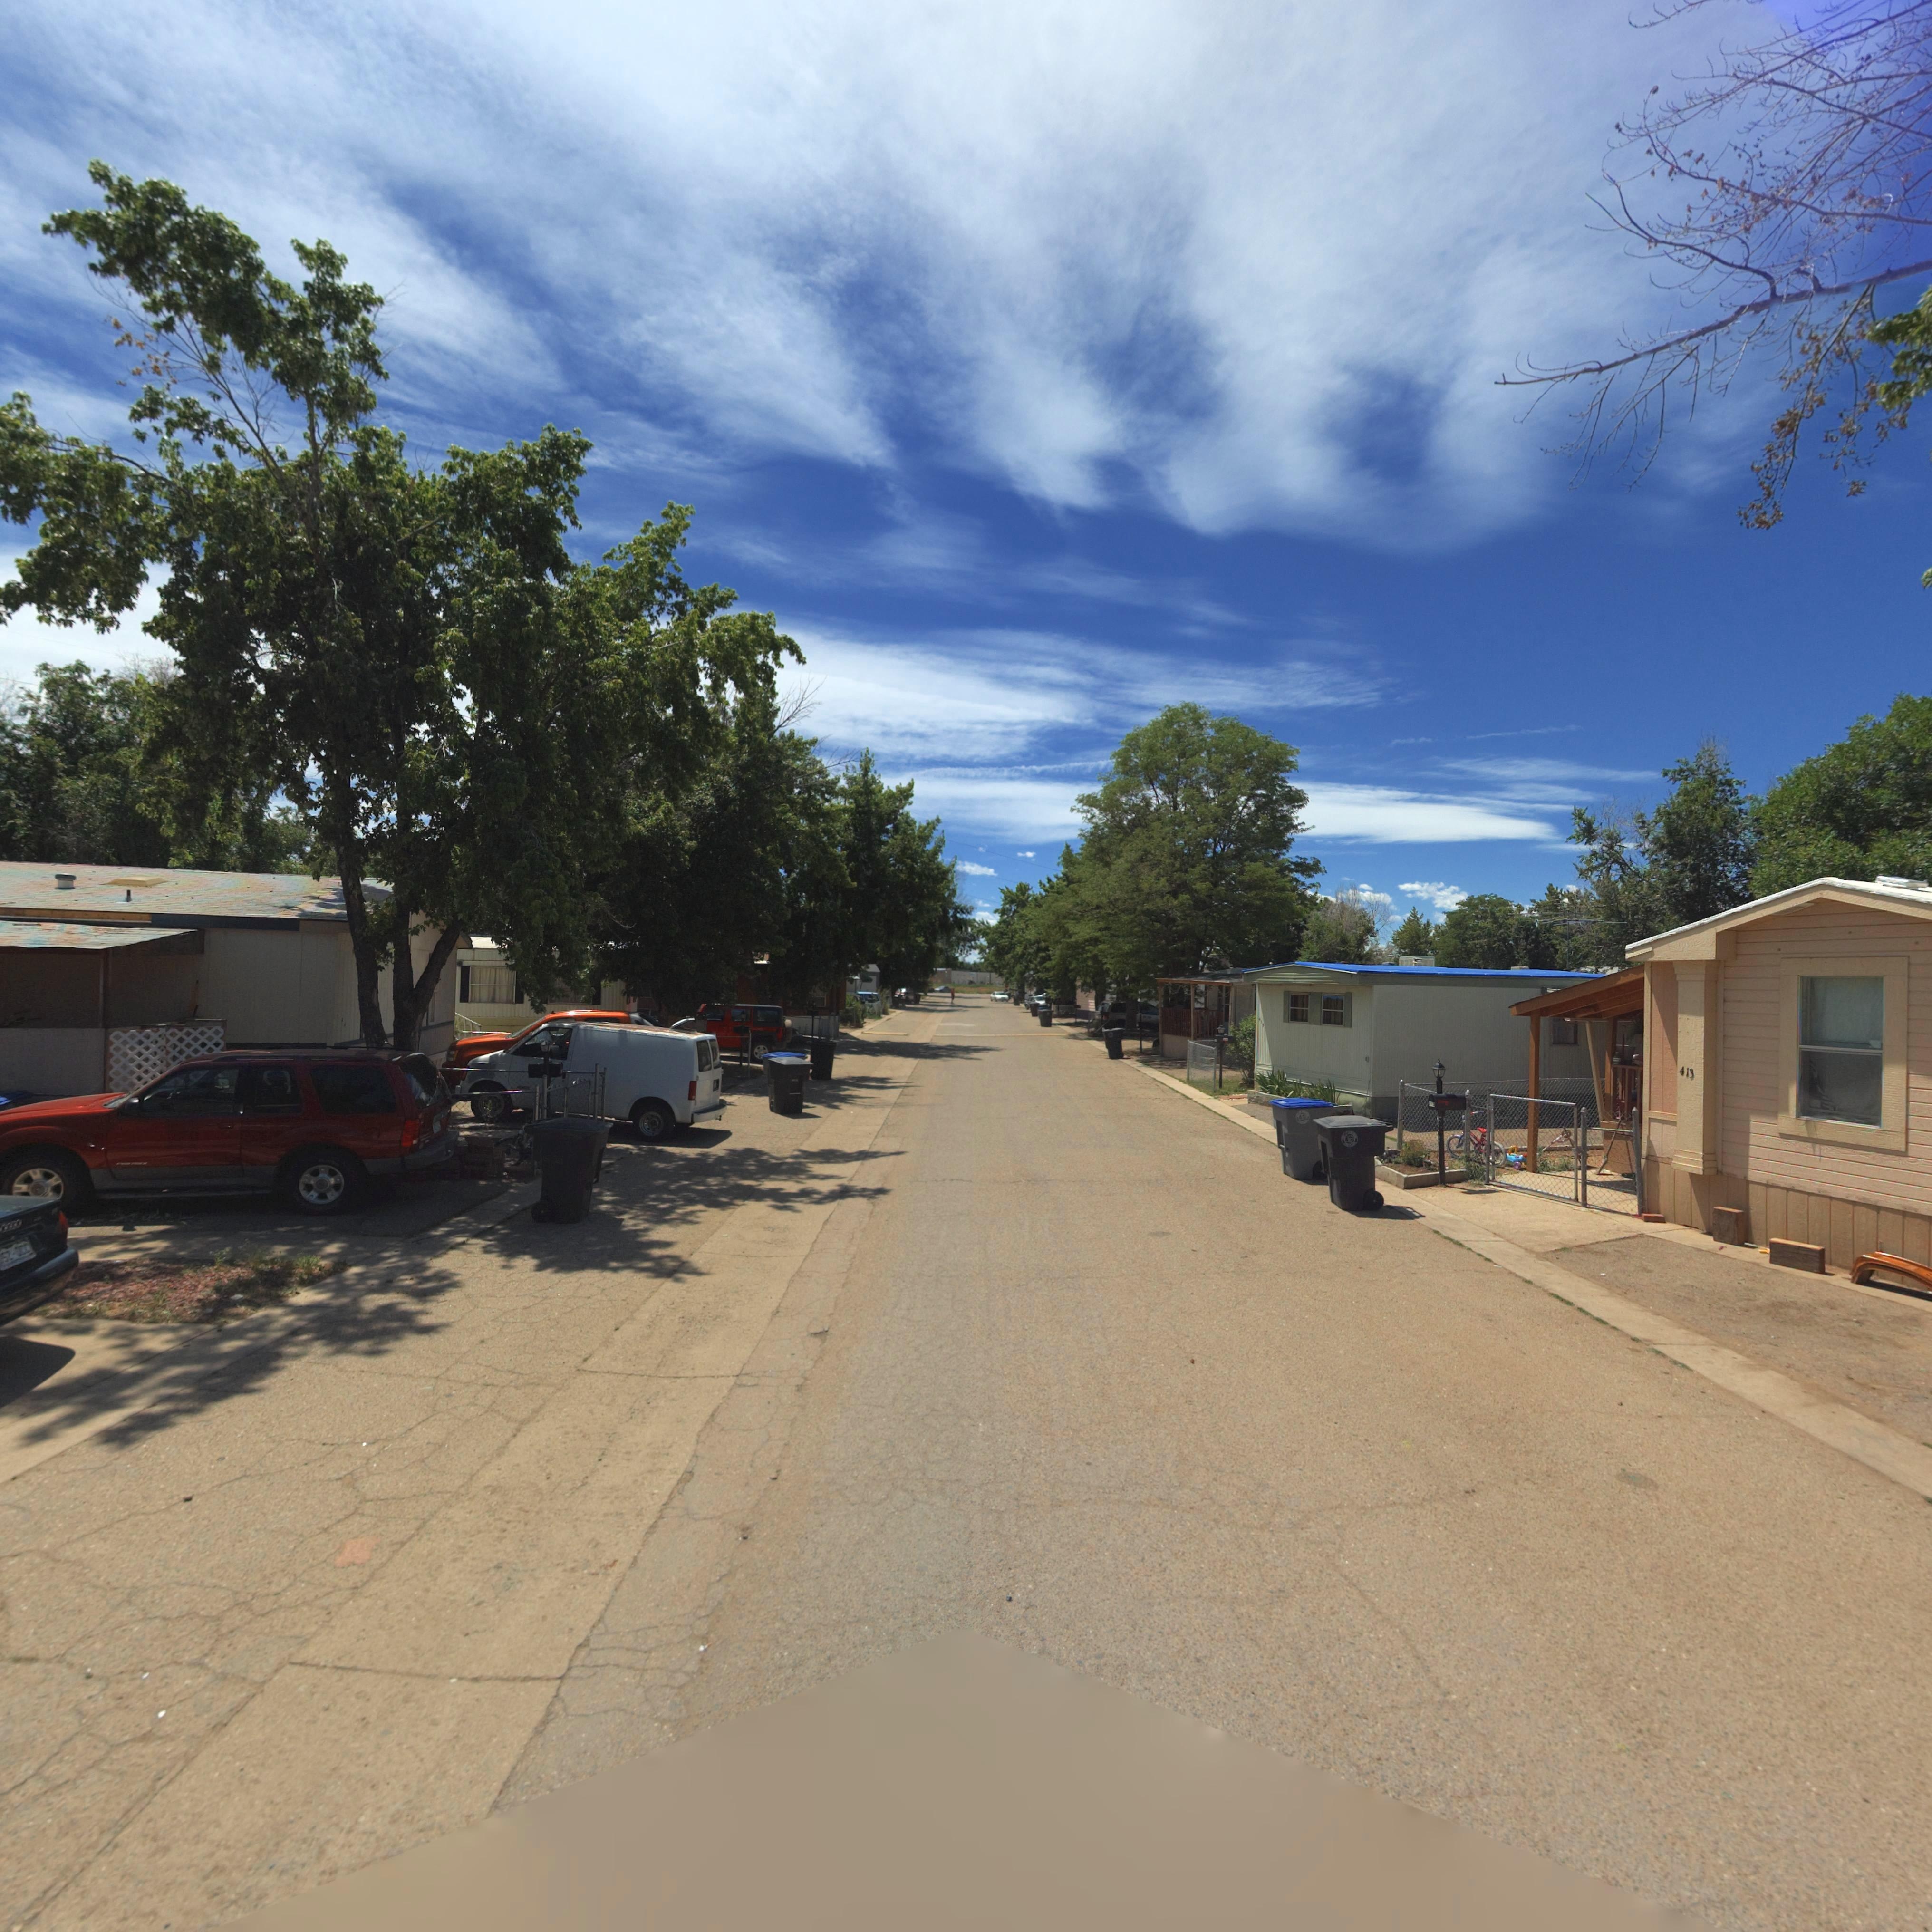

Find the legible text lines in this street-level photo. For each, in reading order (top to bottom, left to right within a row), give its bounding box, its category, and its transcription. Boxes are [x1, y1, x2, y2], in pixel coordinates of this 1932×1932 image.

[1679, 1066, 1694, 1078] StreetNumber: 413